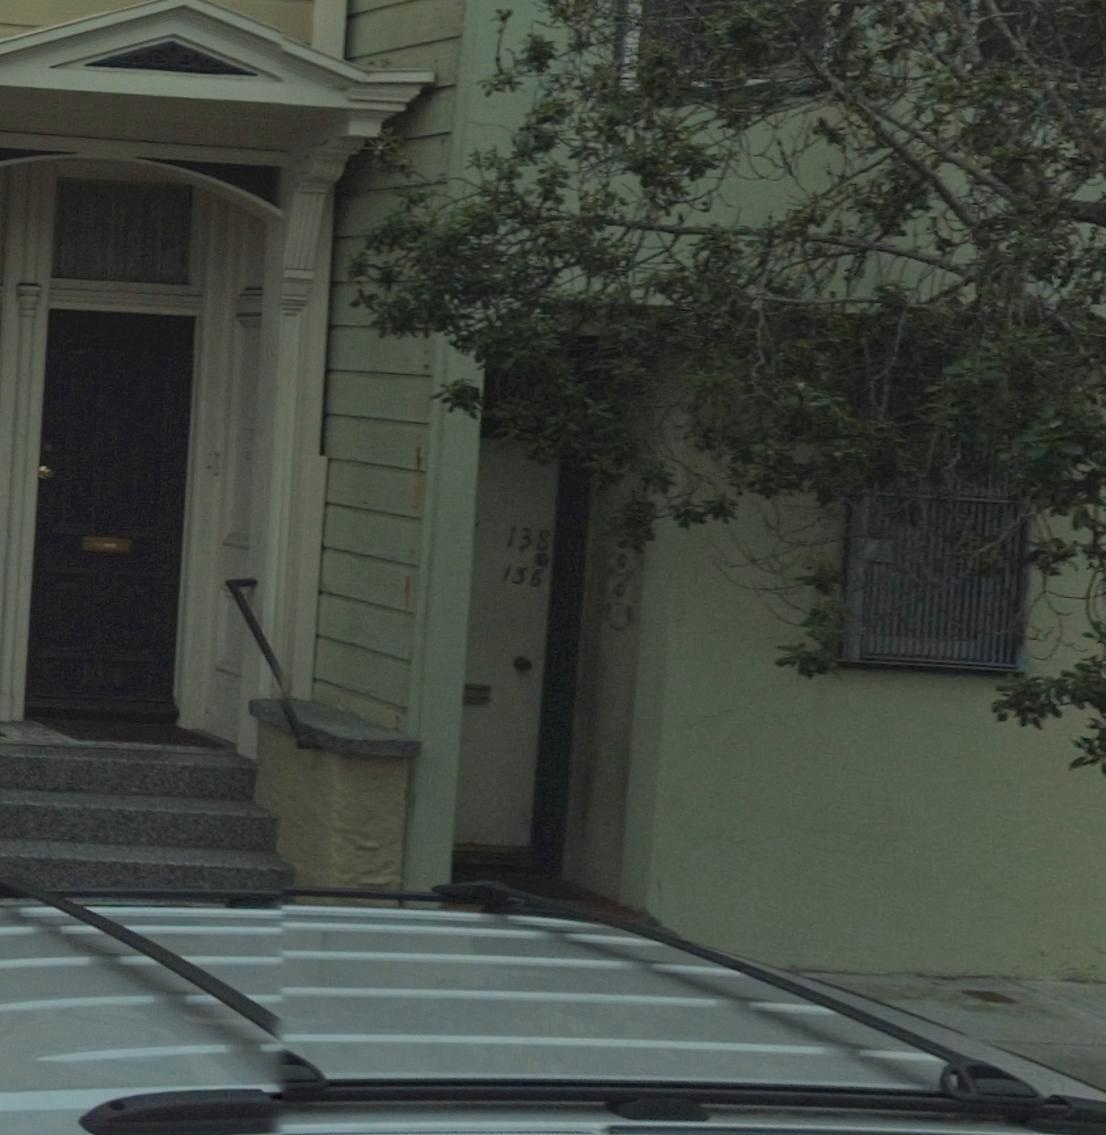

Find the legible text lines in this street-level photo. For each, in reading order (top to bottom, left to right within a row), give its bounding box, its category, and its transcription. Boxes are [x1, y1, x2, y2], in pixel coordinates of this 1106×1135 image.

[504, 525, 552, 552] StreetNumber: 138
[497, 561, 547, 591] StreetNumber: 136